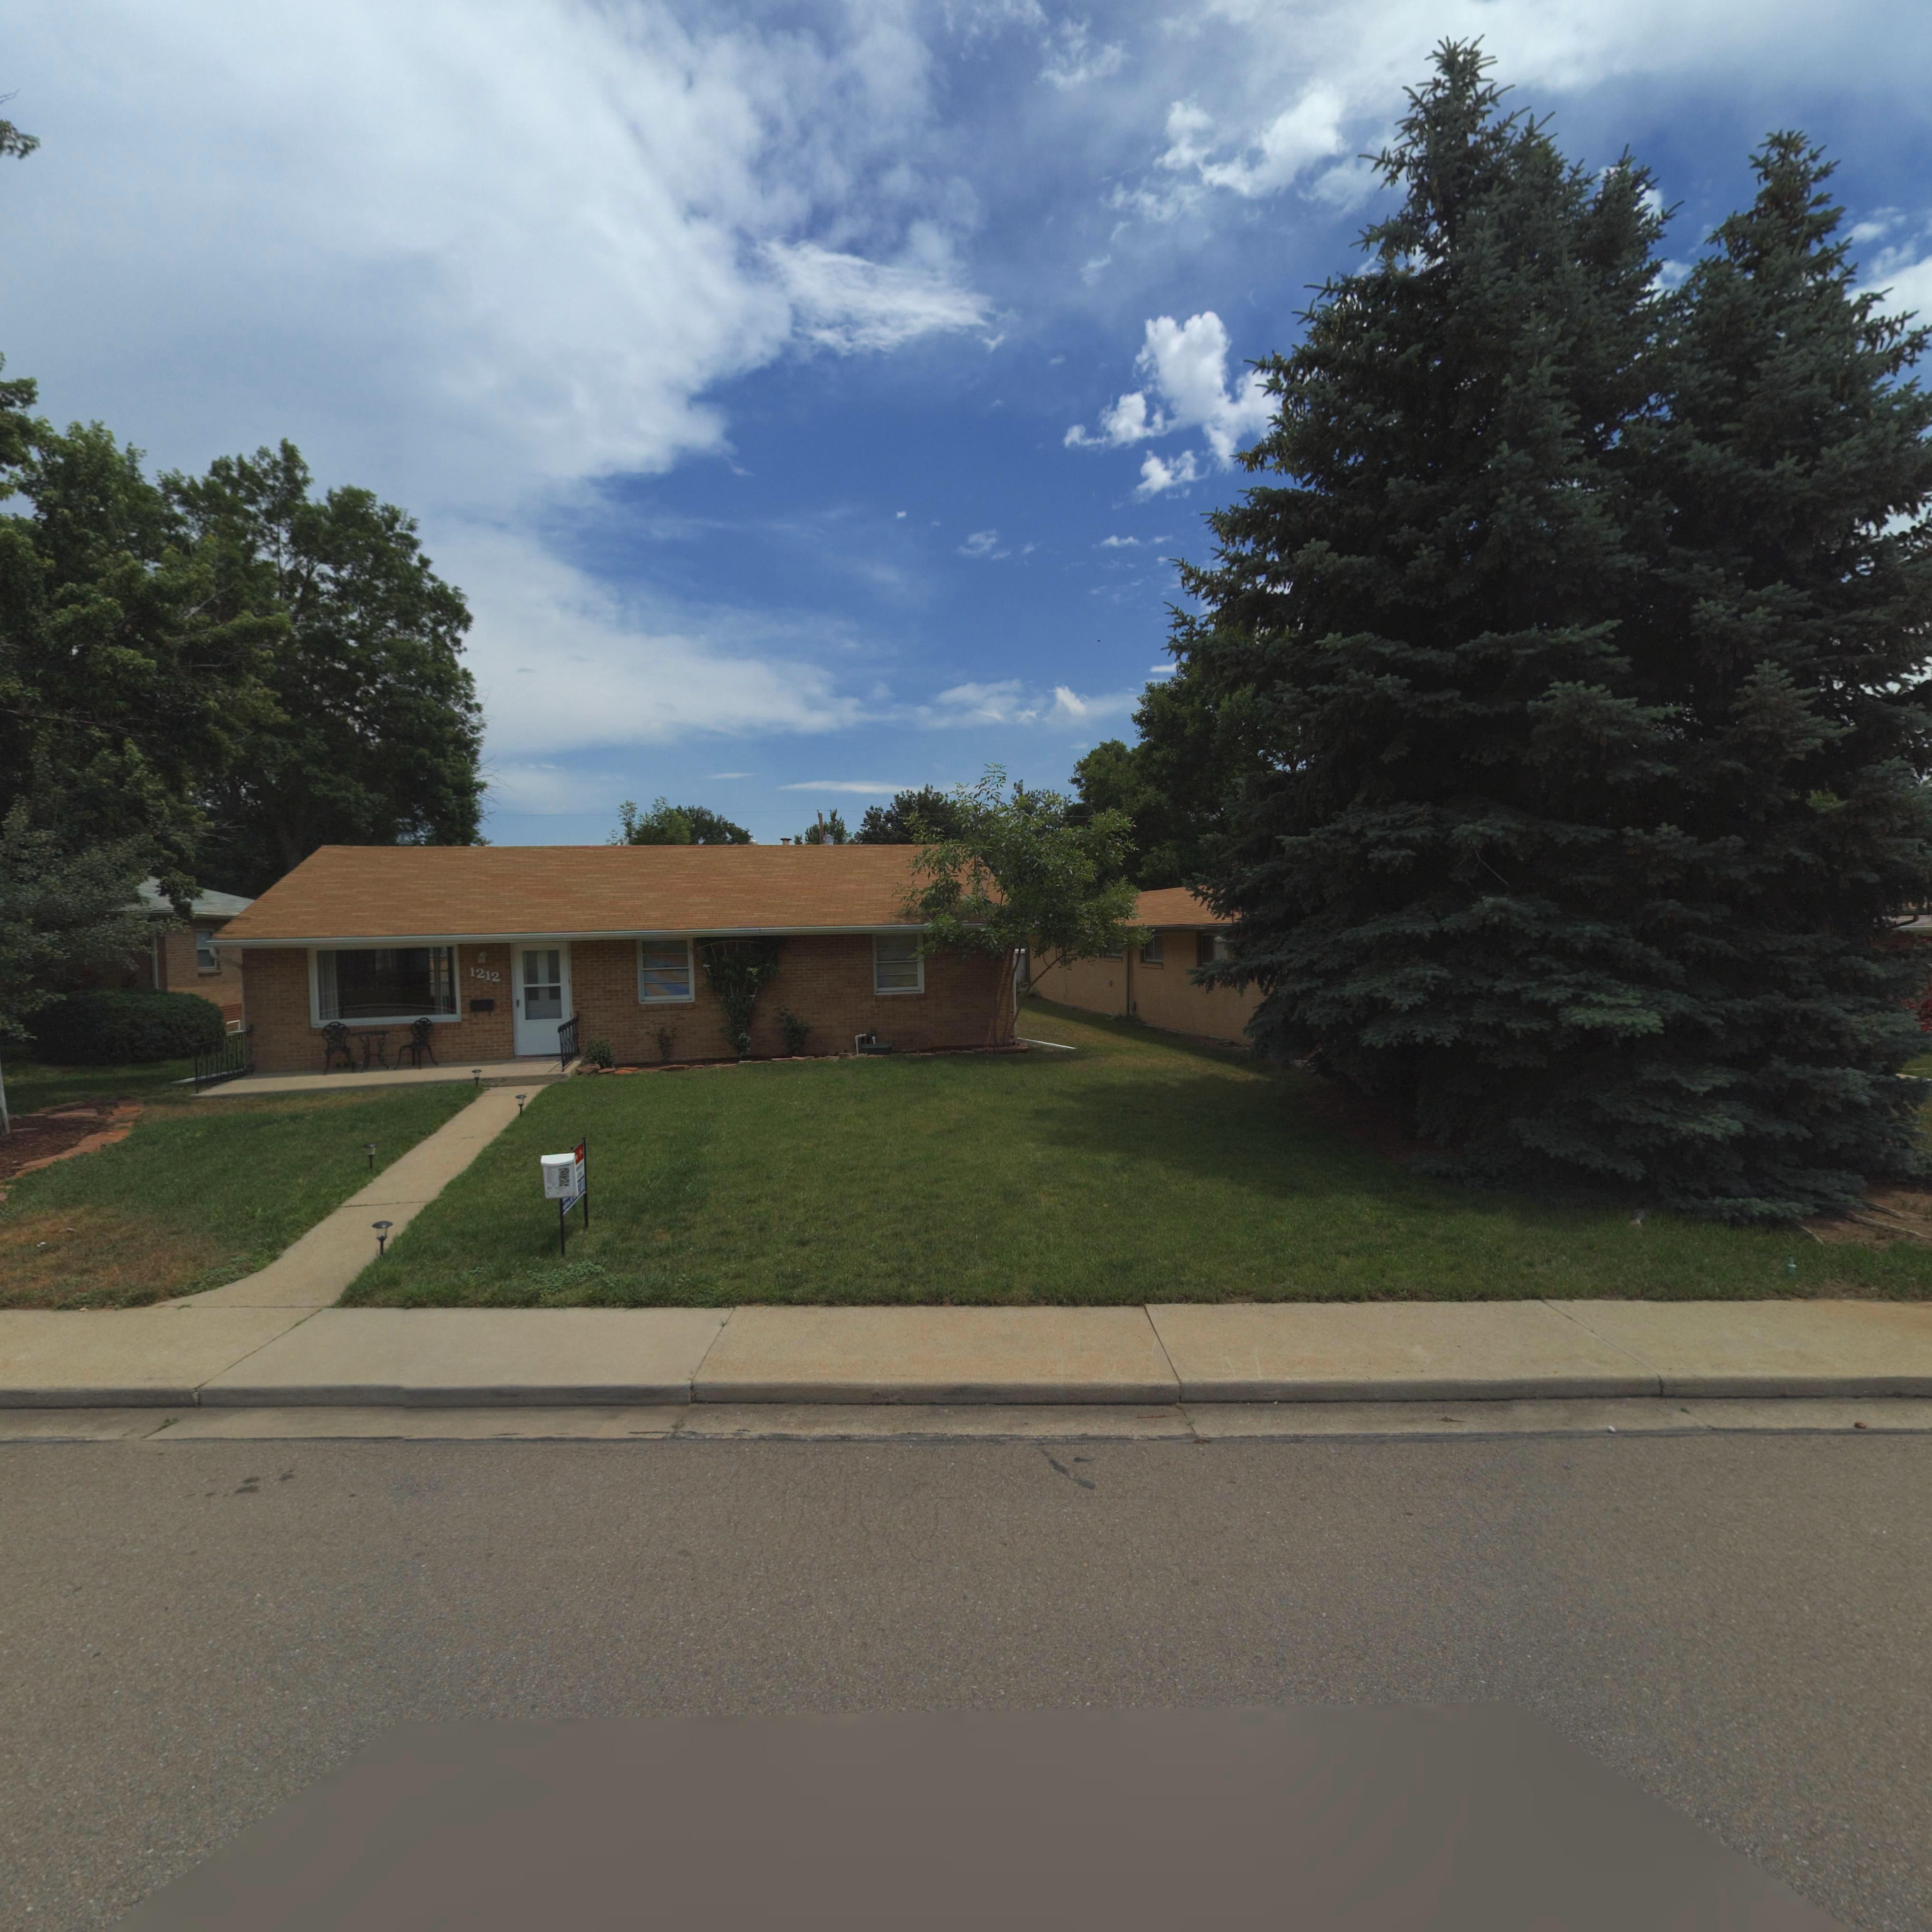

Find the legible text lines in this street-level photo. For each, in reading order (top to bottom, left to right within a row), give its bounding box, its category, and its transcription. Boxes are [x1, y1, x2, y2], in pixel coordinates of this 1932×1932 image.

[469, 967, 501, 982] StreetNumber: 1212